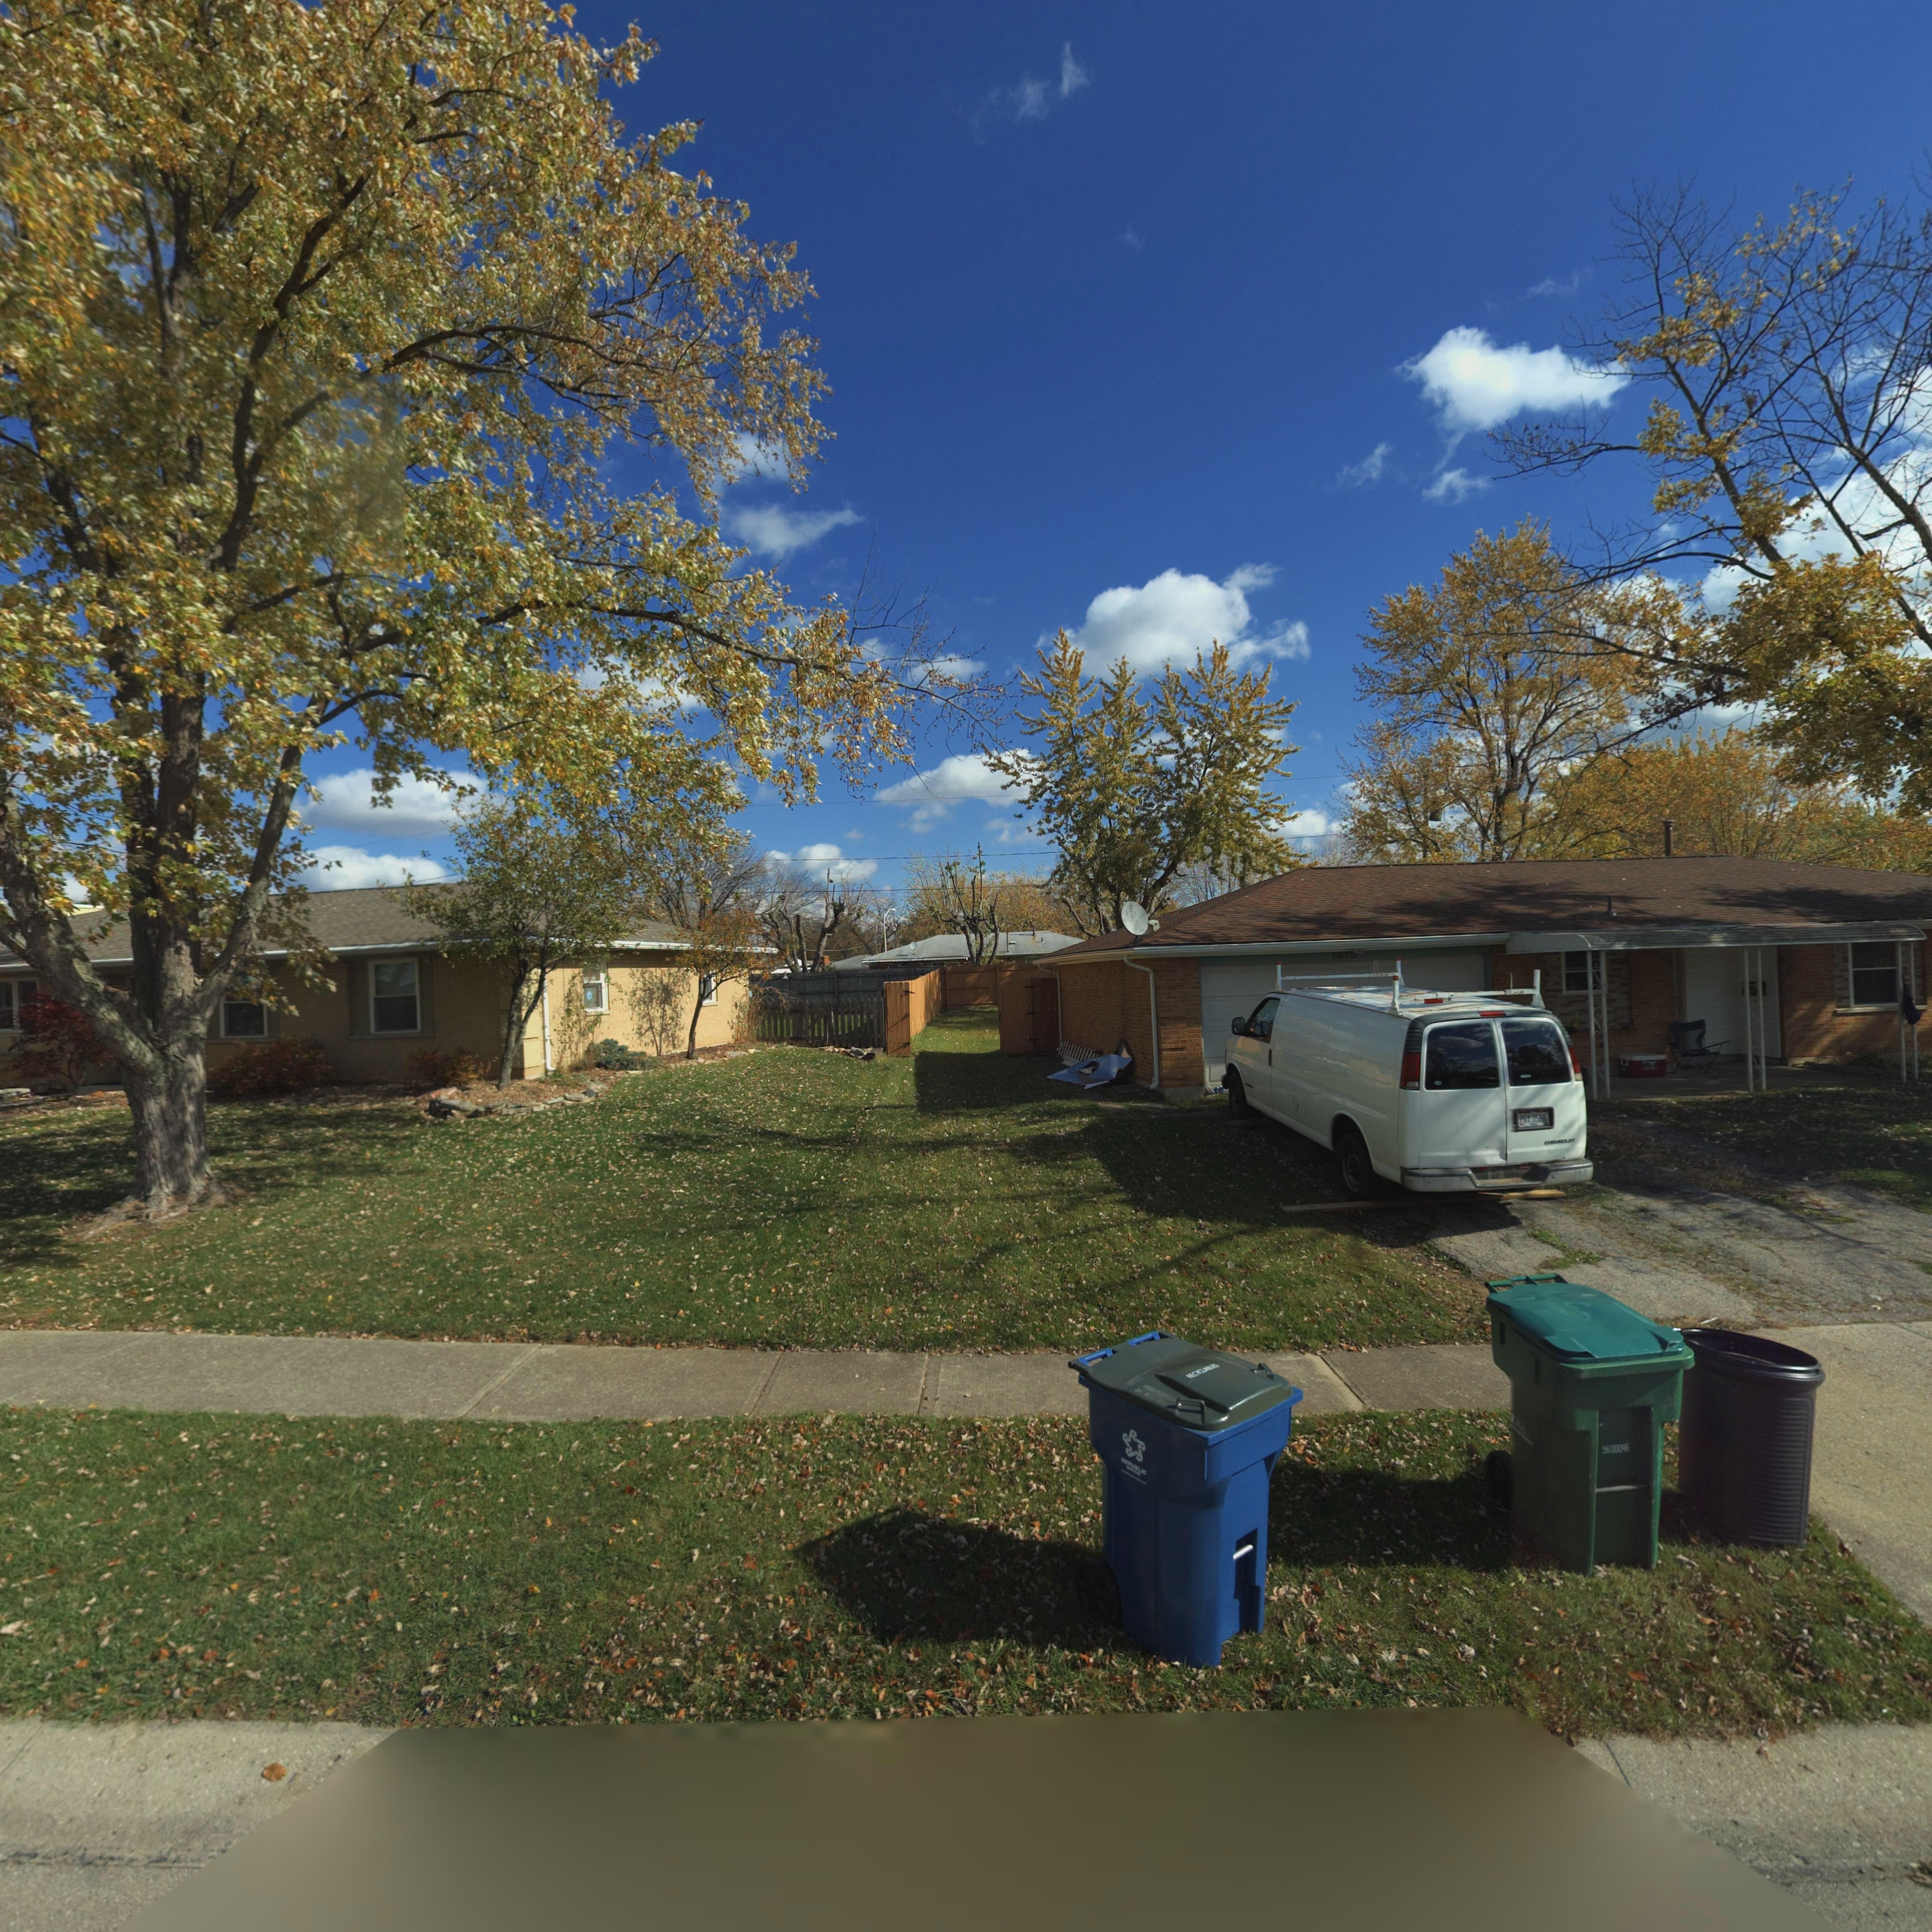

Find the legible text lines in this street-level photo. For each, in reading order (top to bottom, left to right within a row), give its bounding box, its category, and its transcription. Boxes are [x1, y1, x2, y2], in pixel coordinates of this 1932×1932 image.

[1330, 950, 1351, 961] StreetNumber: 767